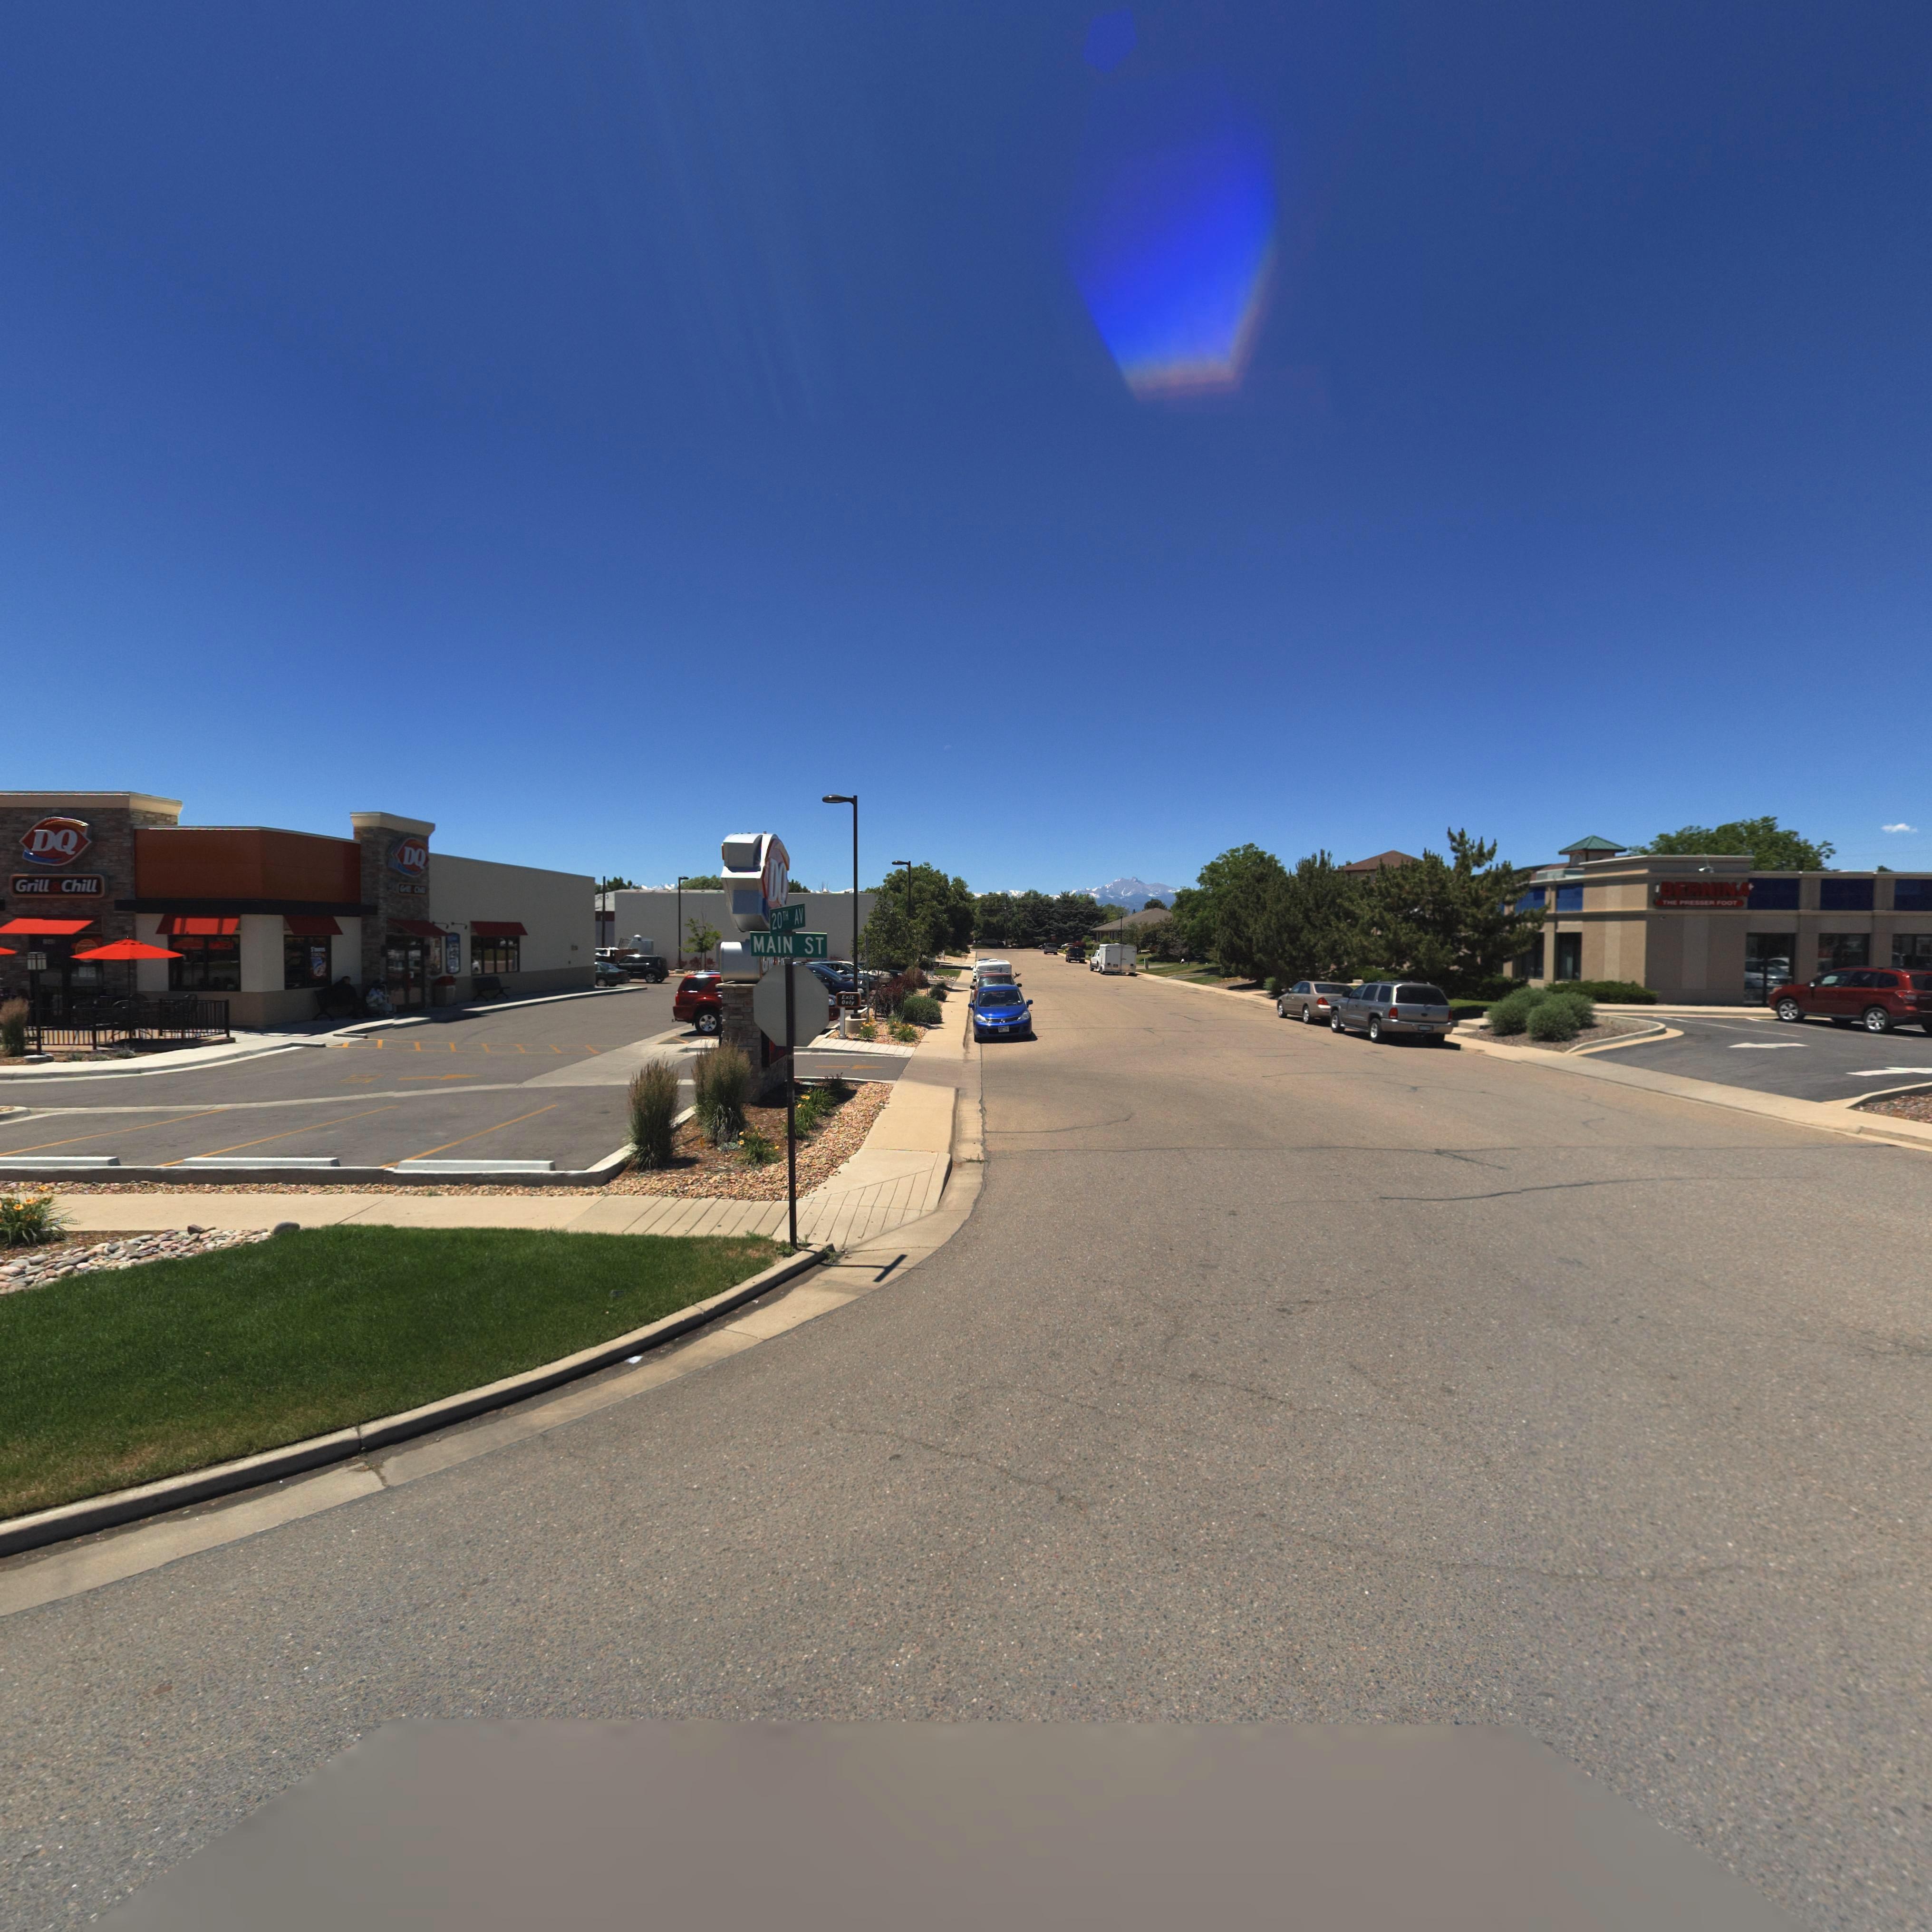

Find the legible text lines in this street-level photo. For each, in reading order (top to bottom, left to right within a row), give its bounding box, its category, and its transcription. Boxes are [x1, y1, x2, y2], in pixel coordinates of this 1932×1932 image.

[29, 828, 79, 856] BusinessName: DQ
[402, 845, 427, 869] BusinessName: DQ
[15, 878, 98, 893] BusinessName: Grill&Chill
[399, 884, 426, 894] BusinessName: Grill Chill
[767, 856, 789, 907] BusinessName: DQ
[1660, 880, 1751, 897] BusinessName: BERNINA
[1661, 899, 1738, 906] BusinessName: THE PRESSER FOOT
[771, 906, 803, 931] StreetName: 20TH AV
[753, 936, 824, 955] StreetName: MAIN ST